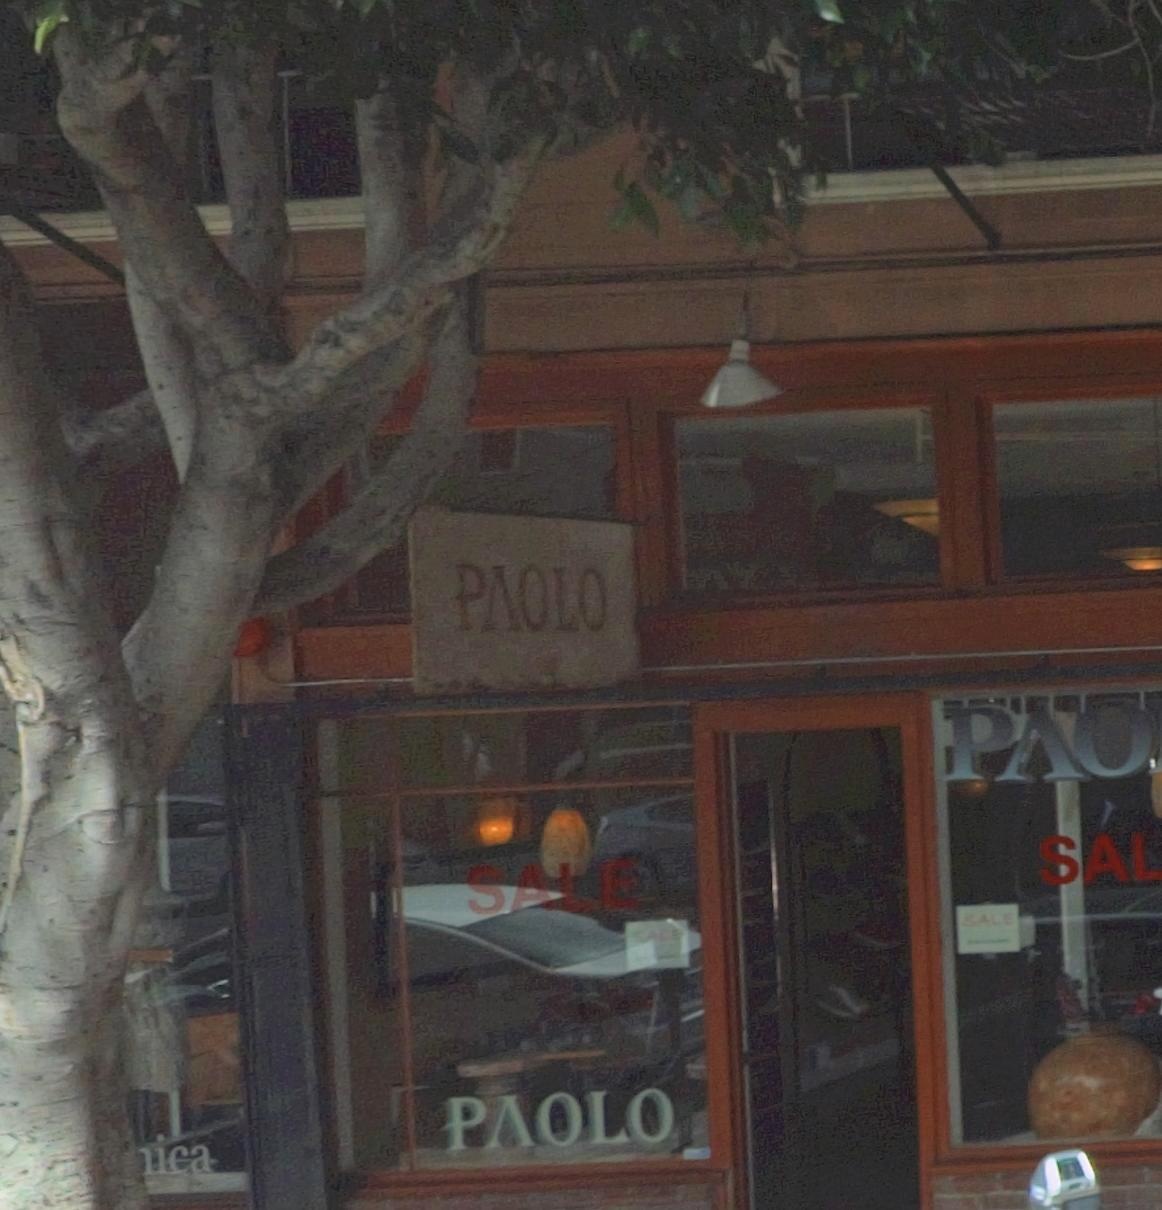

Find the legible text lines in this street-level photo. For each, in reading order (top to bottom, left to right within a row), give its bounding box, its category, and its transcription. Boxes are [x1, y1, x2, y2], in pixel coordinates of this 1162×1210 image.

[450, 556, 612, 641] BusinessName: PAOLO
[935, 693, 1156, 789] BusinessName: PAO
[459, 851, 643, 920] None: SALE
[956, 909, 1020, 930] None: SALE
[1032, 826, 1162, 891] None: SAL
[152, 1129, 216, 1180] None: ica
[436, 1083, 678, 1158] BusinessName: PAOLO